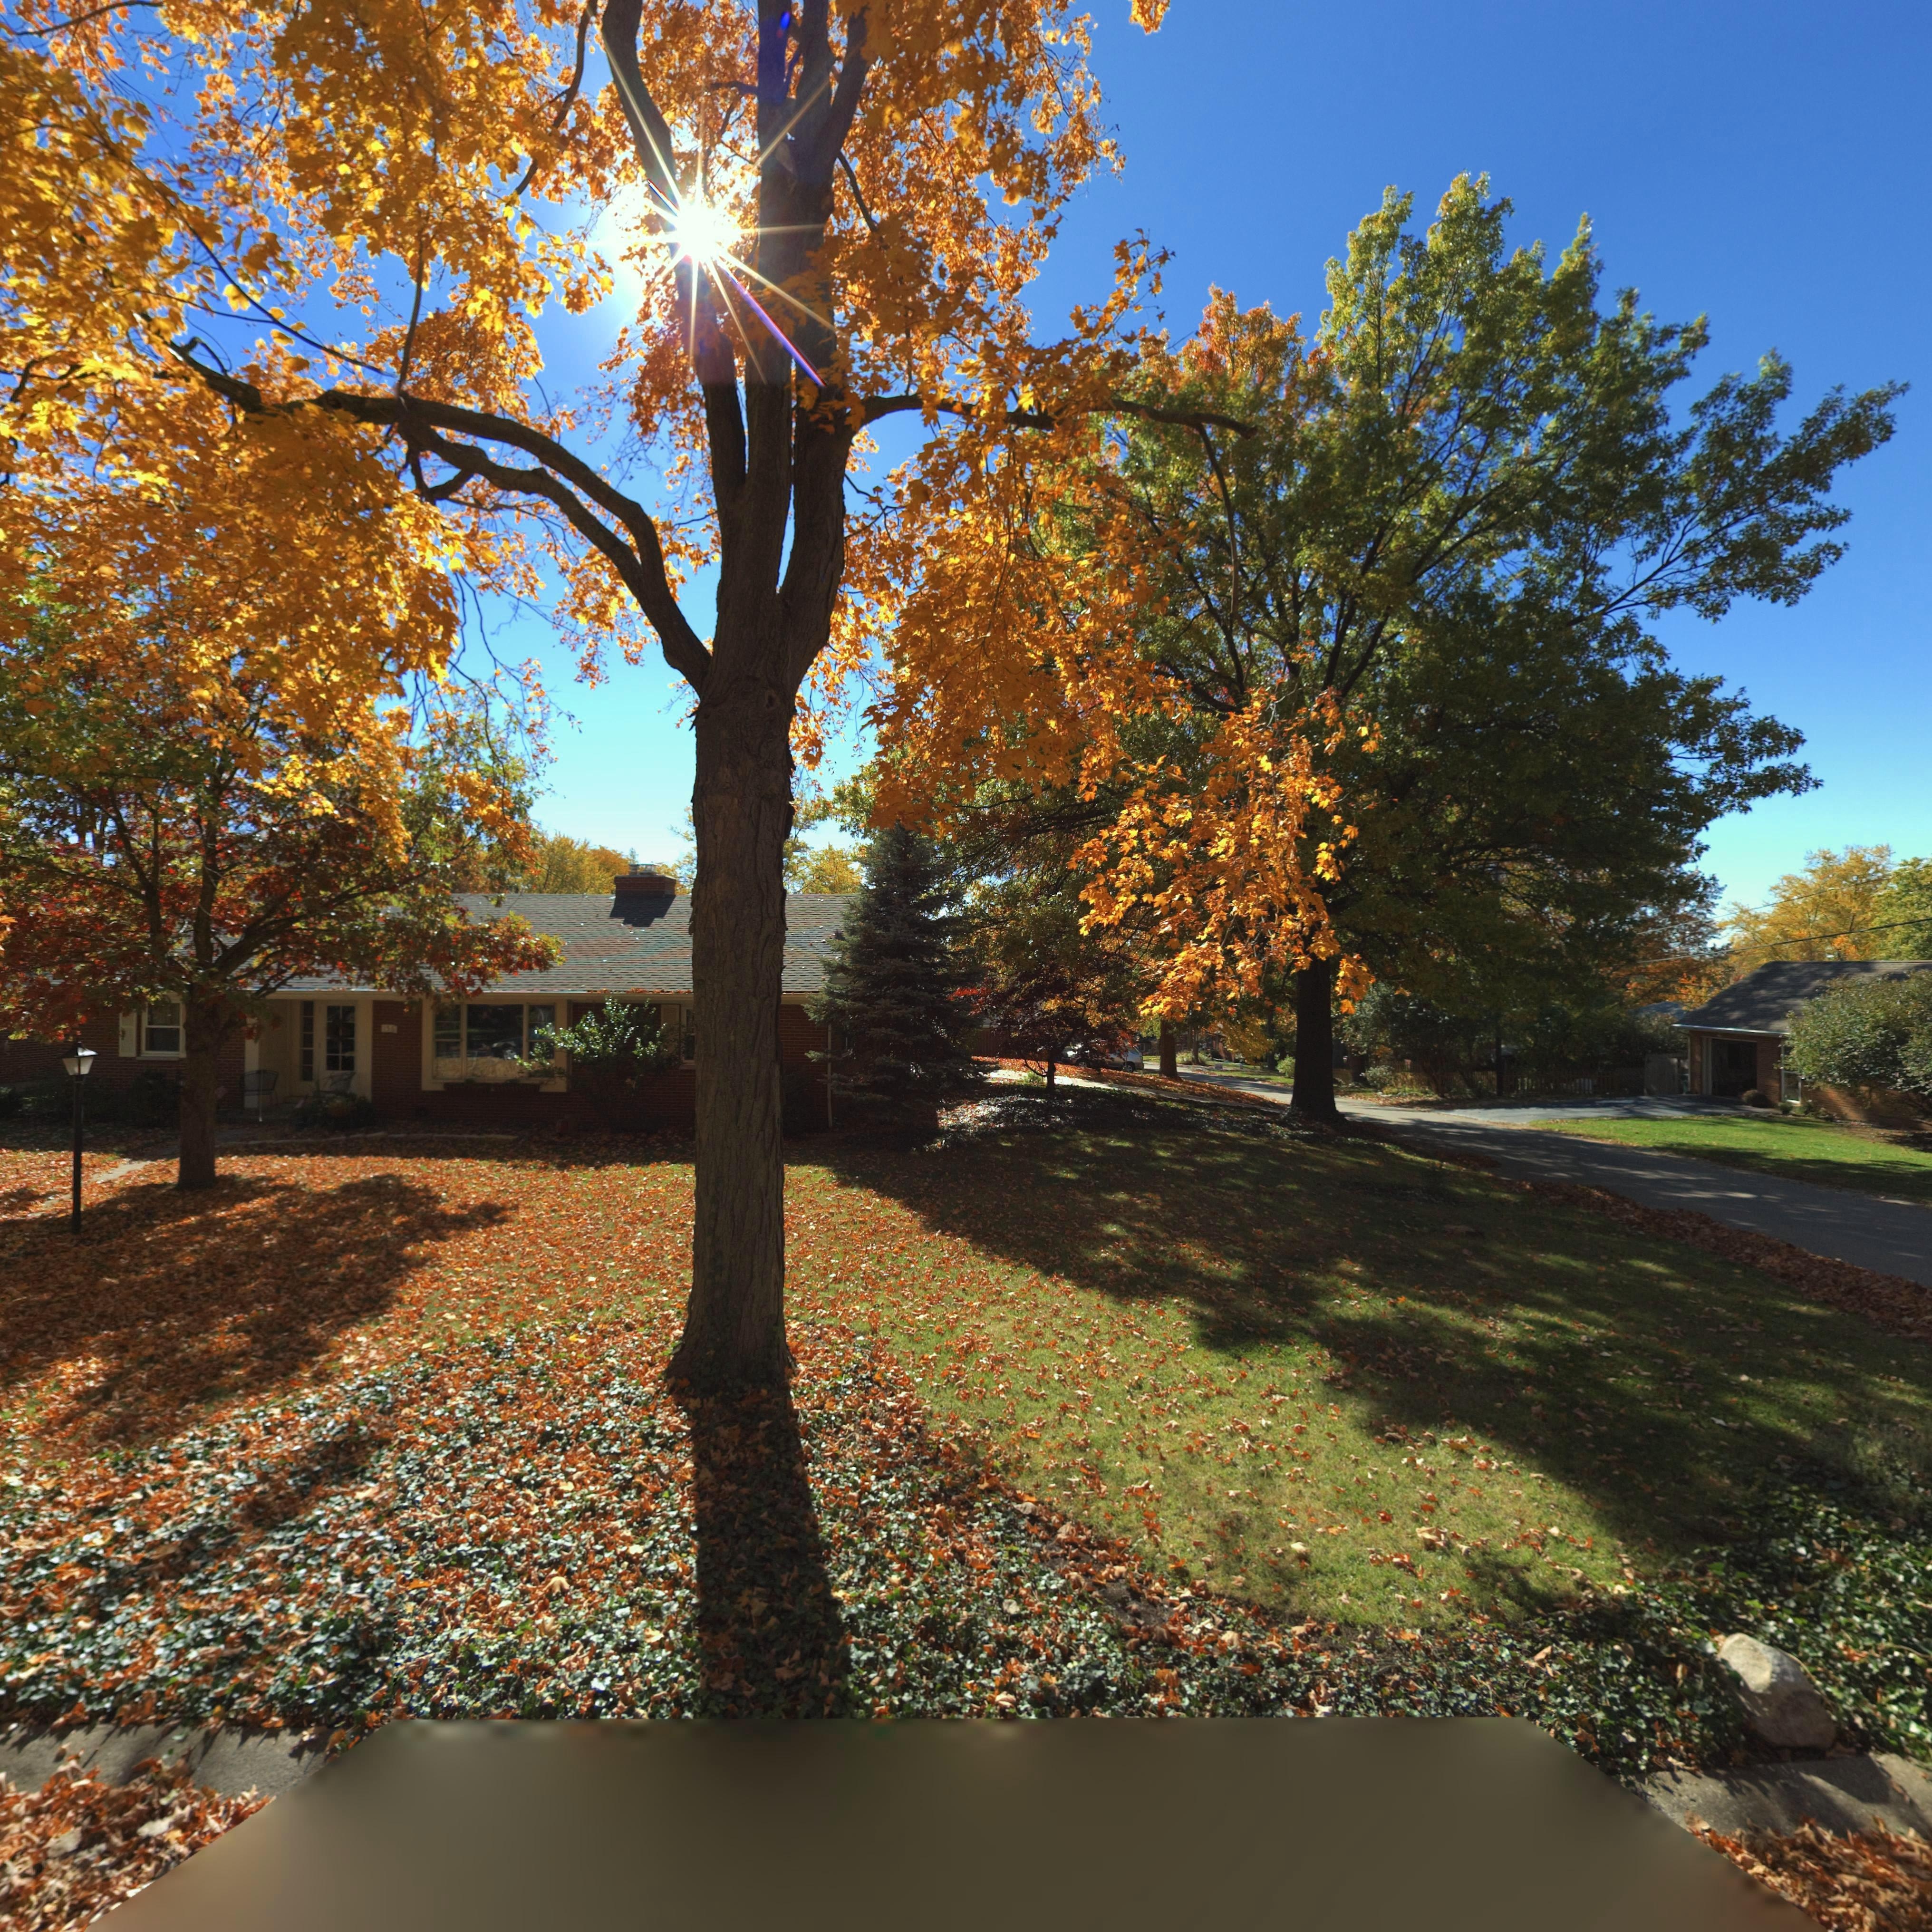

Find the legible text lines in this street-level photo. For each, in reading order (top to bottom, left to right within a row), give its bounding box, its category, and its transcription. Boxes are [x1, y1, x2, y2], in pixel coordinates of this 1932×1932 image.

[381, 1024, 396, 1032] StreetNumber: 156